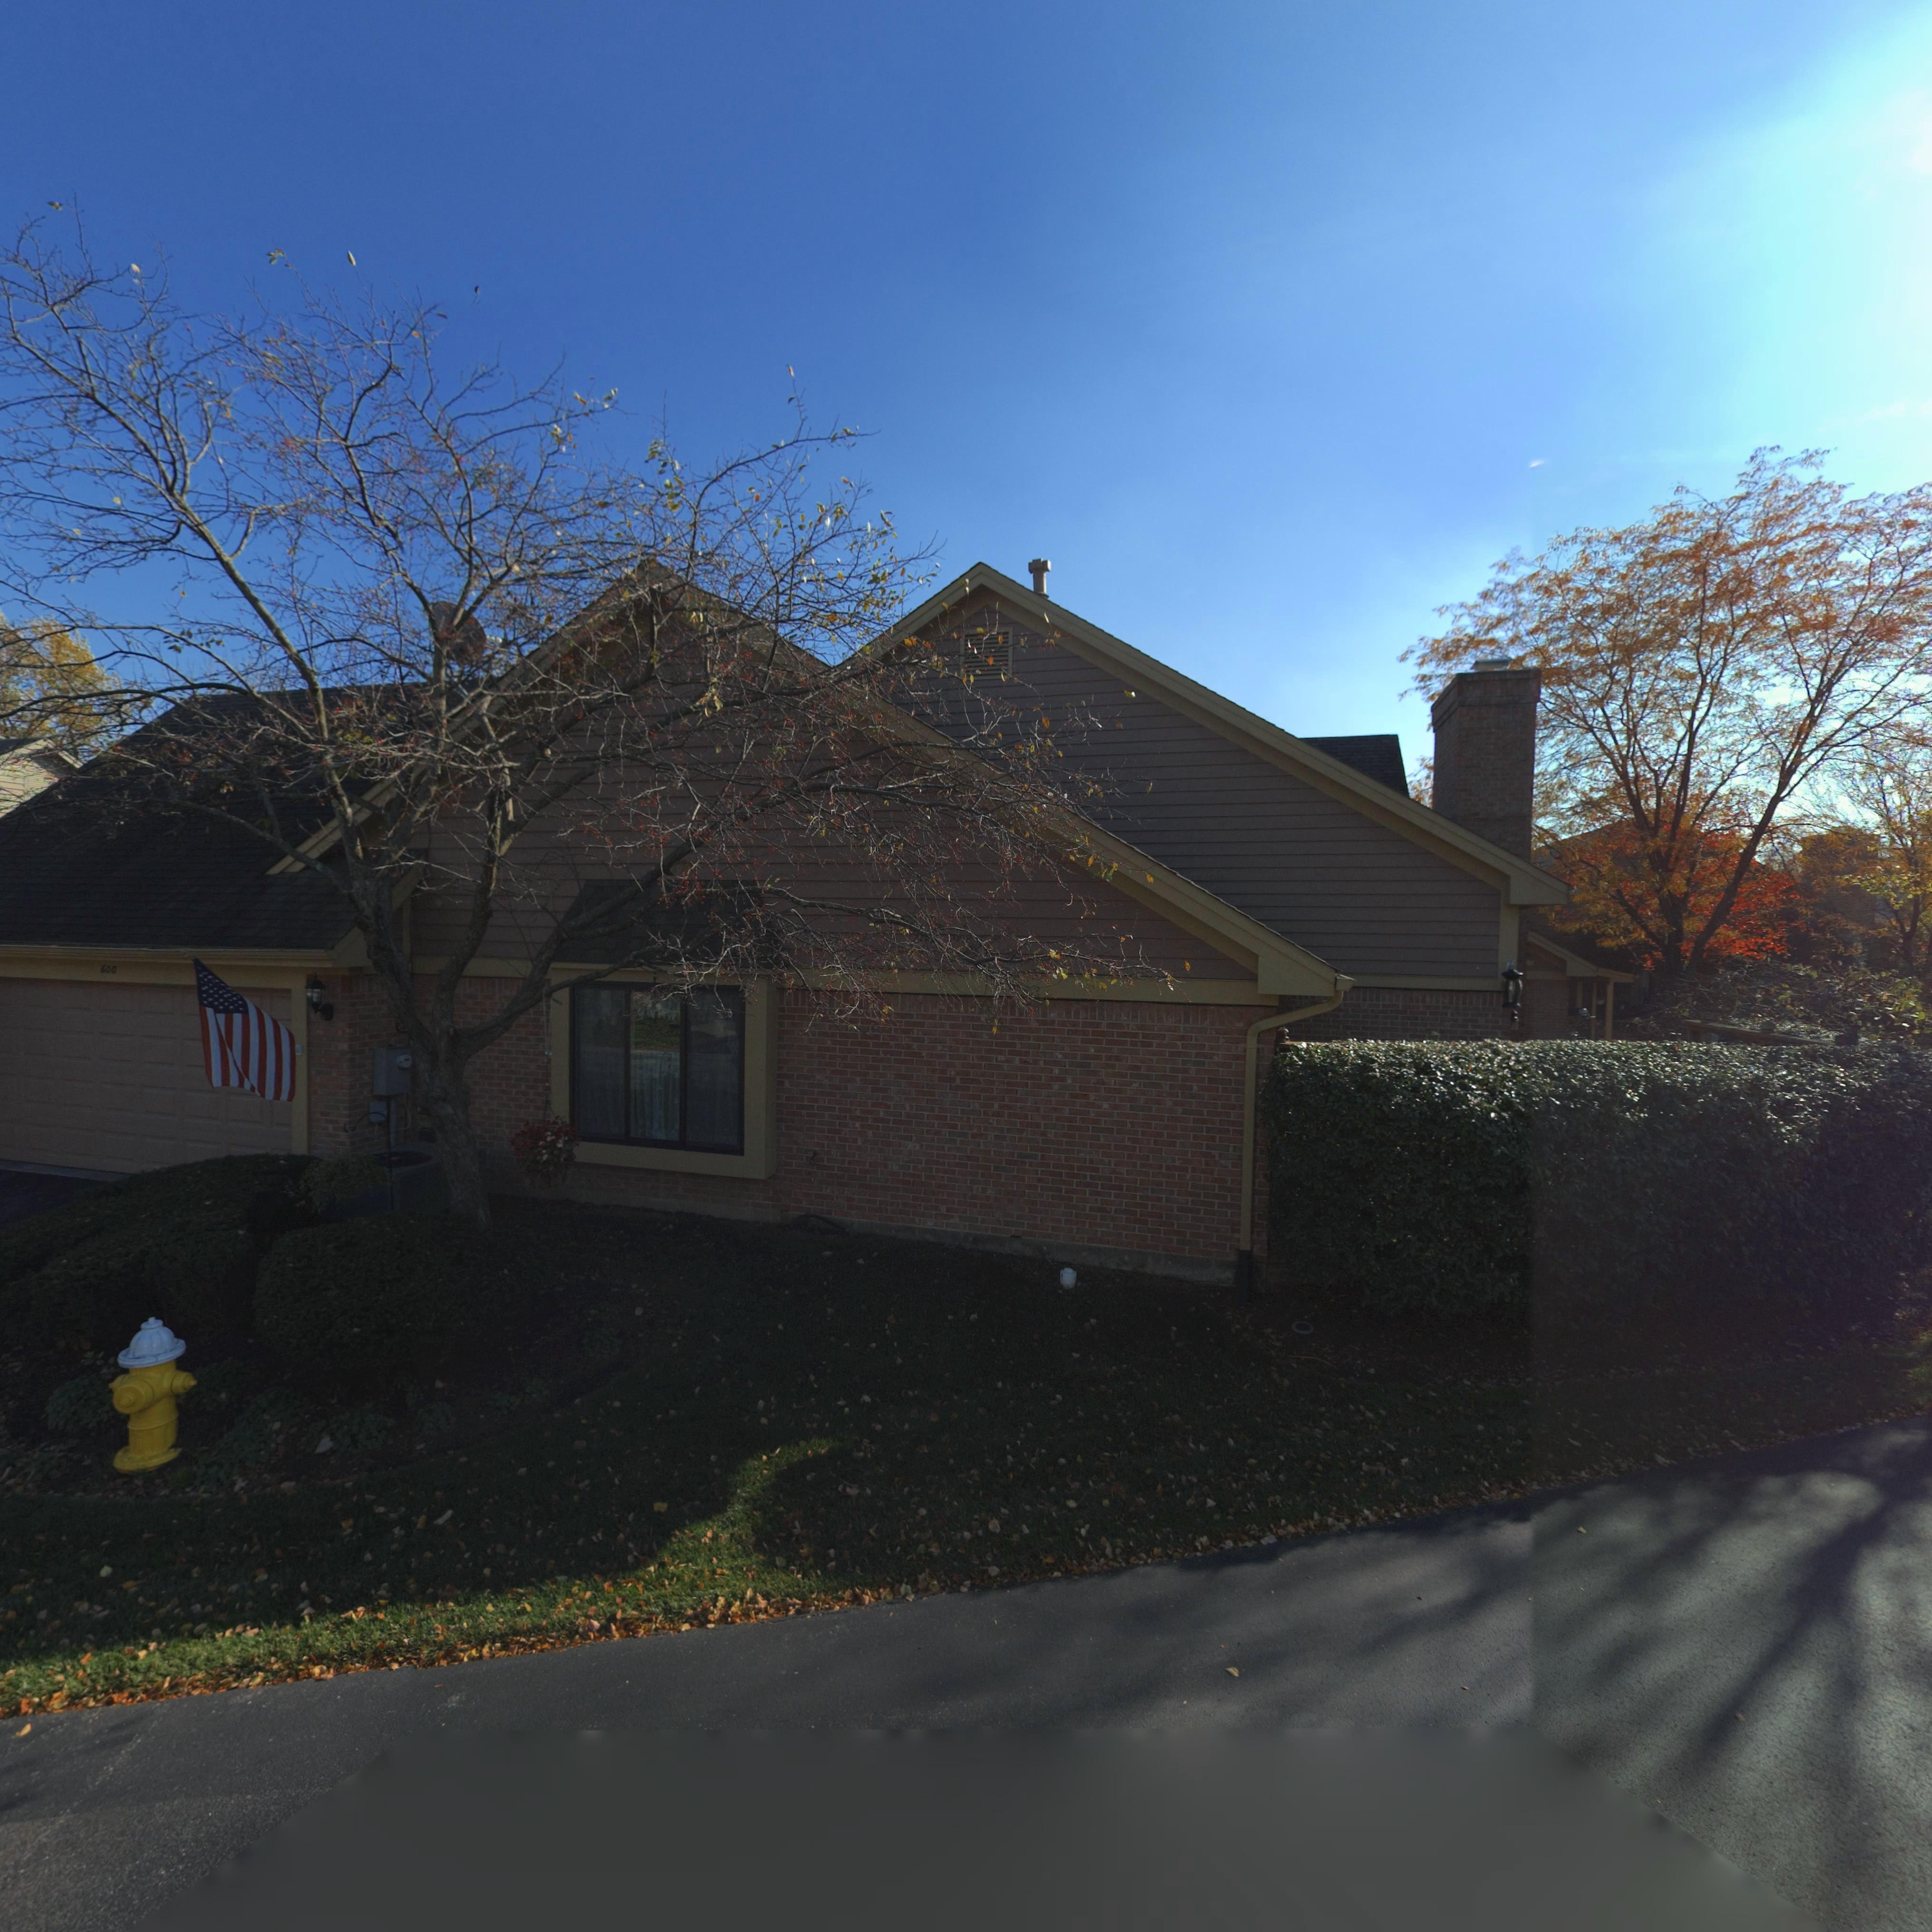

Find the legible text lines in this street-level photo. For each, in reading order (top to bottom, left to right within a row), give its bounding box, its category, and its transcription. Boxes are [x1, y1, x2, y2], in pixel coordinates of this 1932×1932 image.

[99, 963, 117, 974] StreetNumber: 600